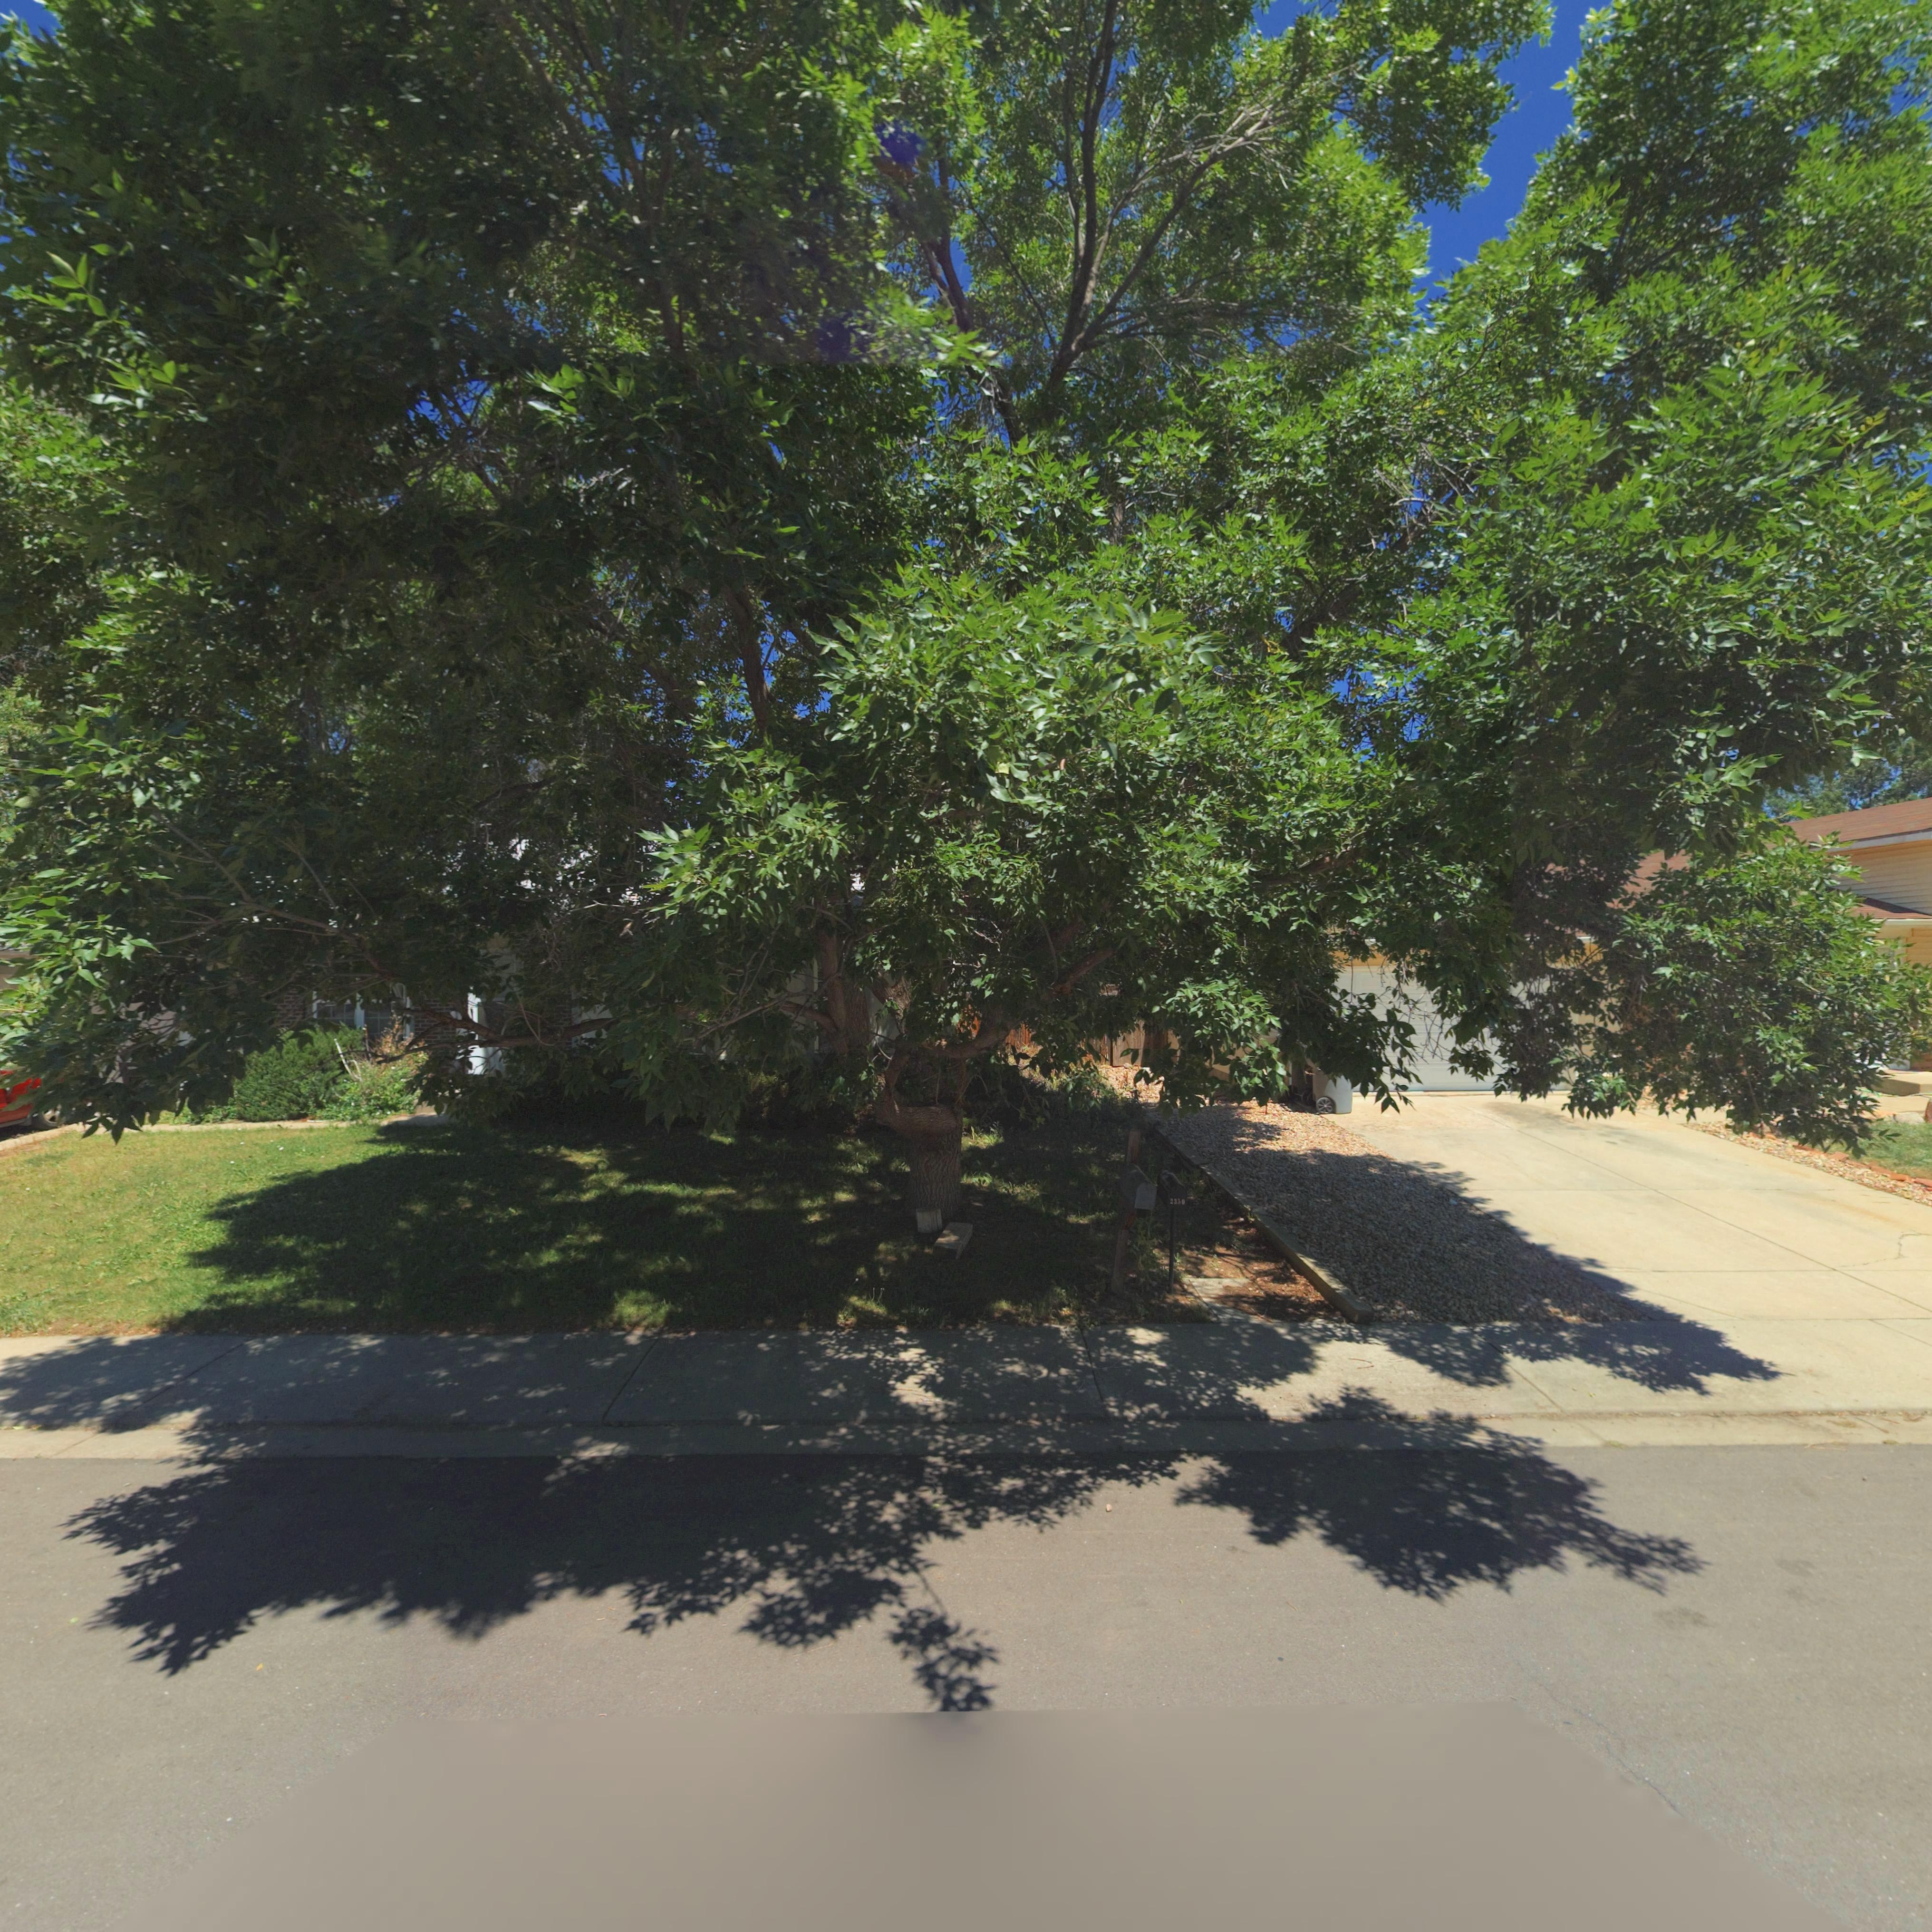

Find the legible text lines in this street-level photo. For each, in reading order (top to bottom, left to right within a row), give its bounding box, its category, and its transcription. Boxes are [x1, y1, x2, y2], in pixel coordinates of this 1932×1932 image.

[1169, 1198, 1185, 1205] StreetNumber: 2350